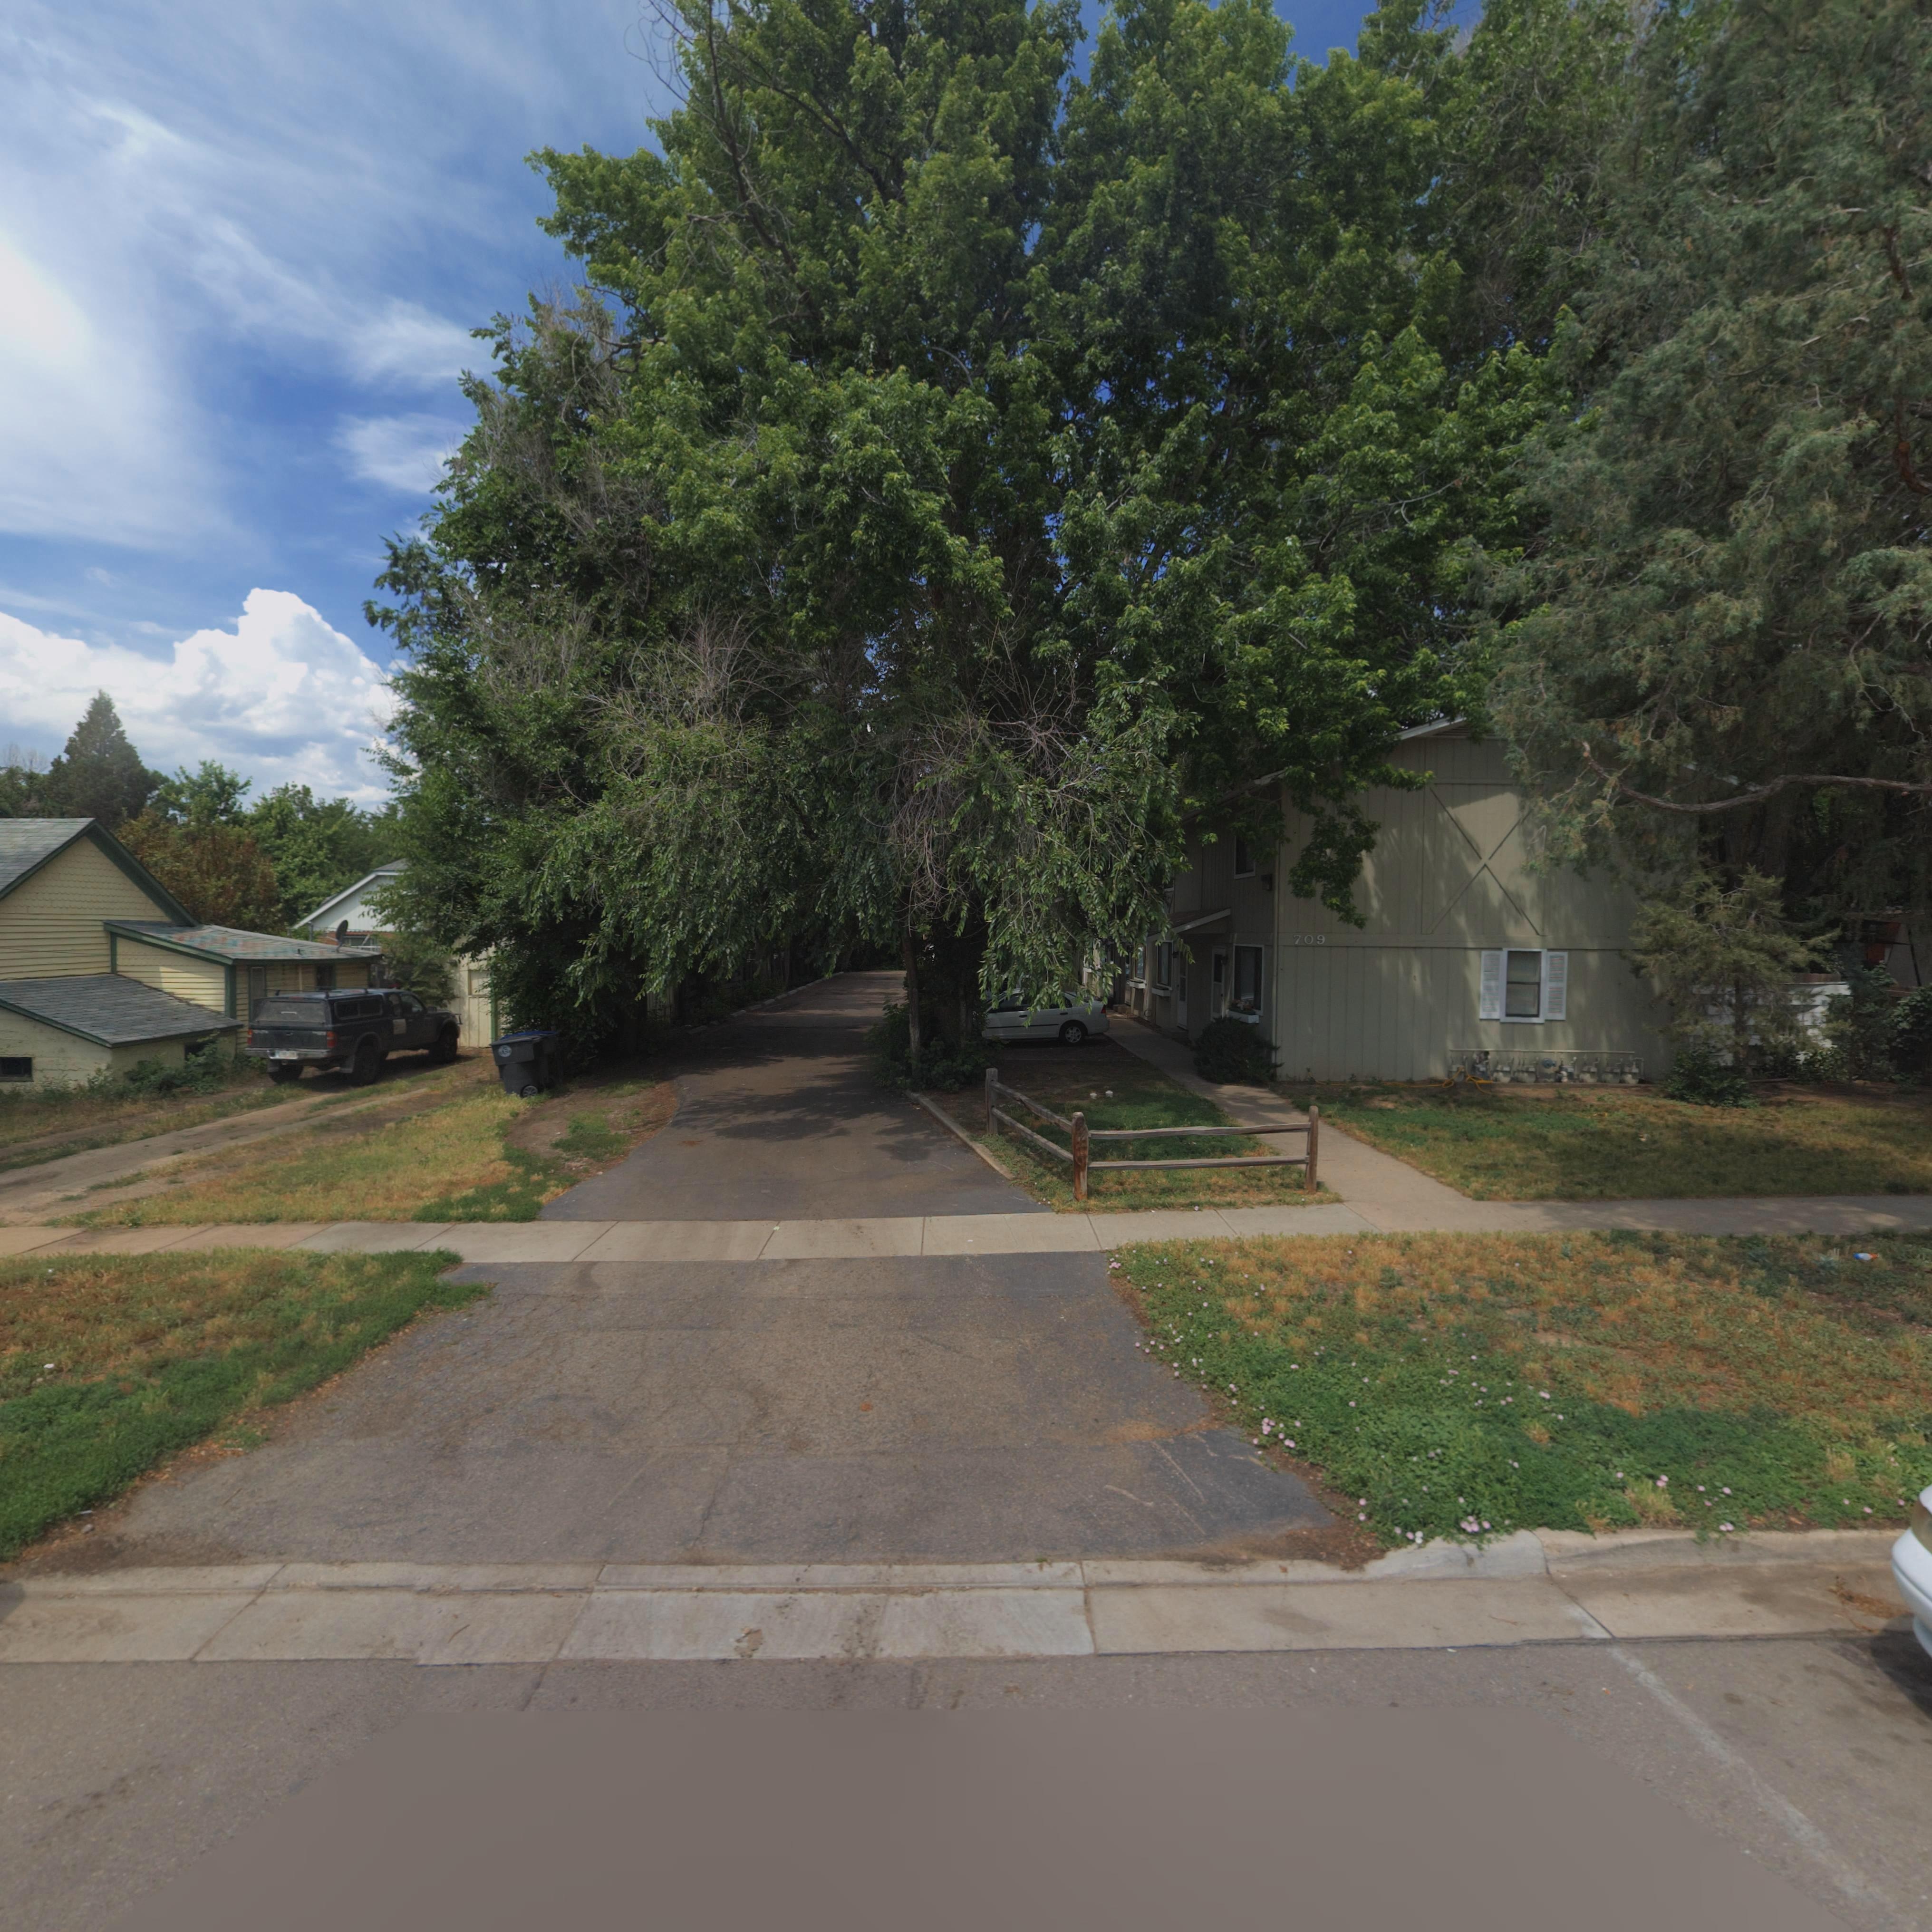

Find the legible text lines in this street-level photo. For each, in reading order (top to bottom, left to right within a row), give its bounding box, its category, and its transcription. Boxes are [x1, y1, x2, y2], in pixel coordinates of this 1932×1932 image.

[1292, 934, 1326, 945] StreetNumber: 709